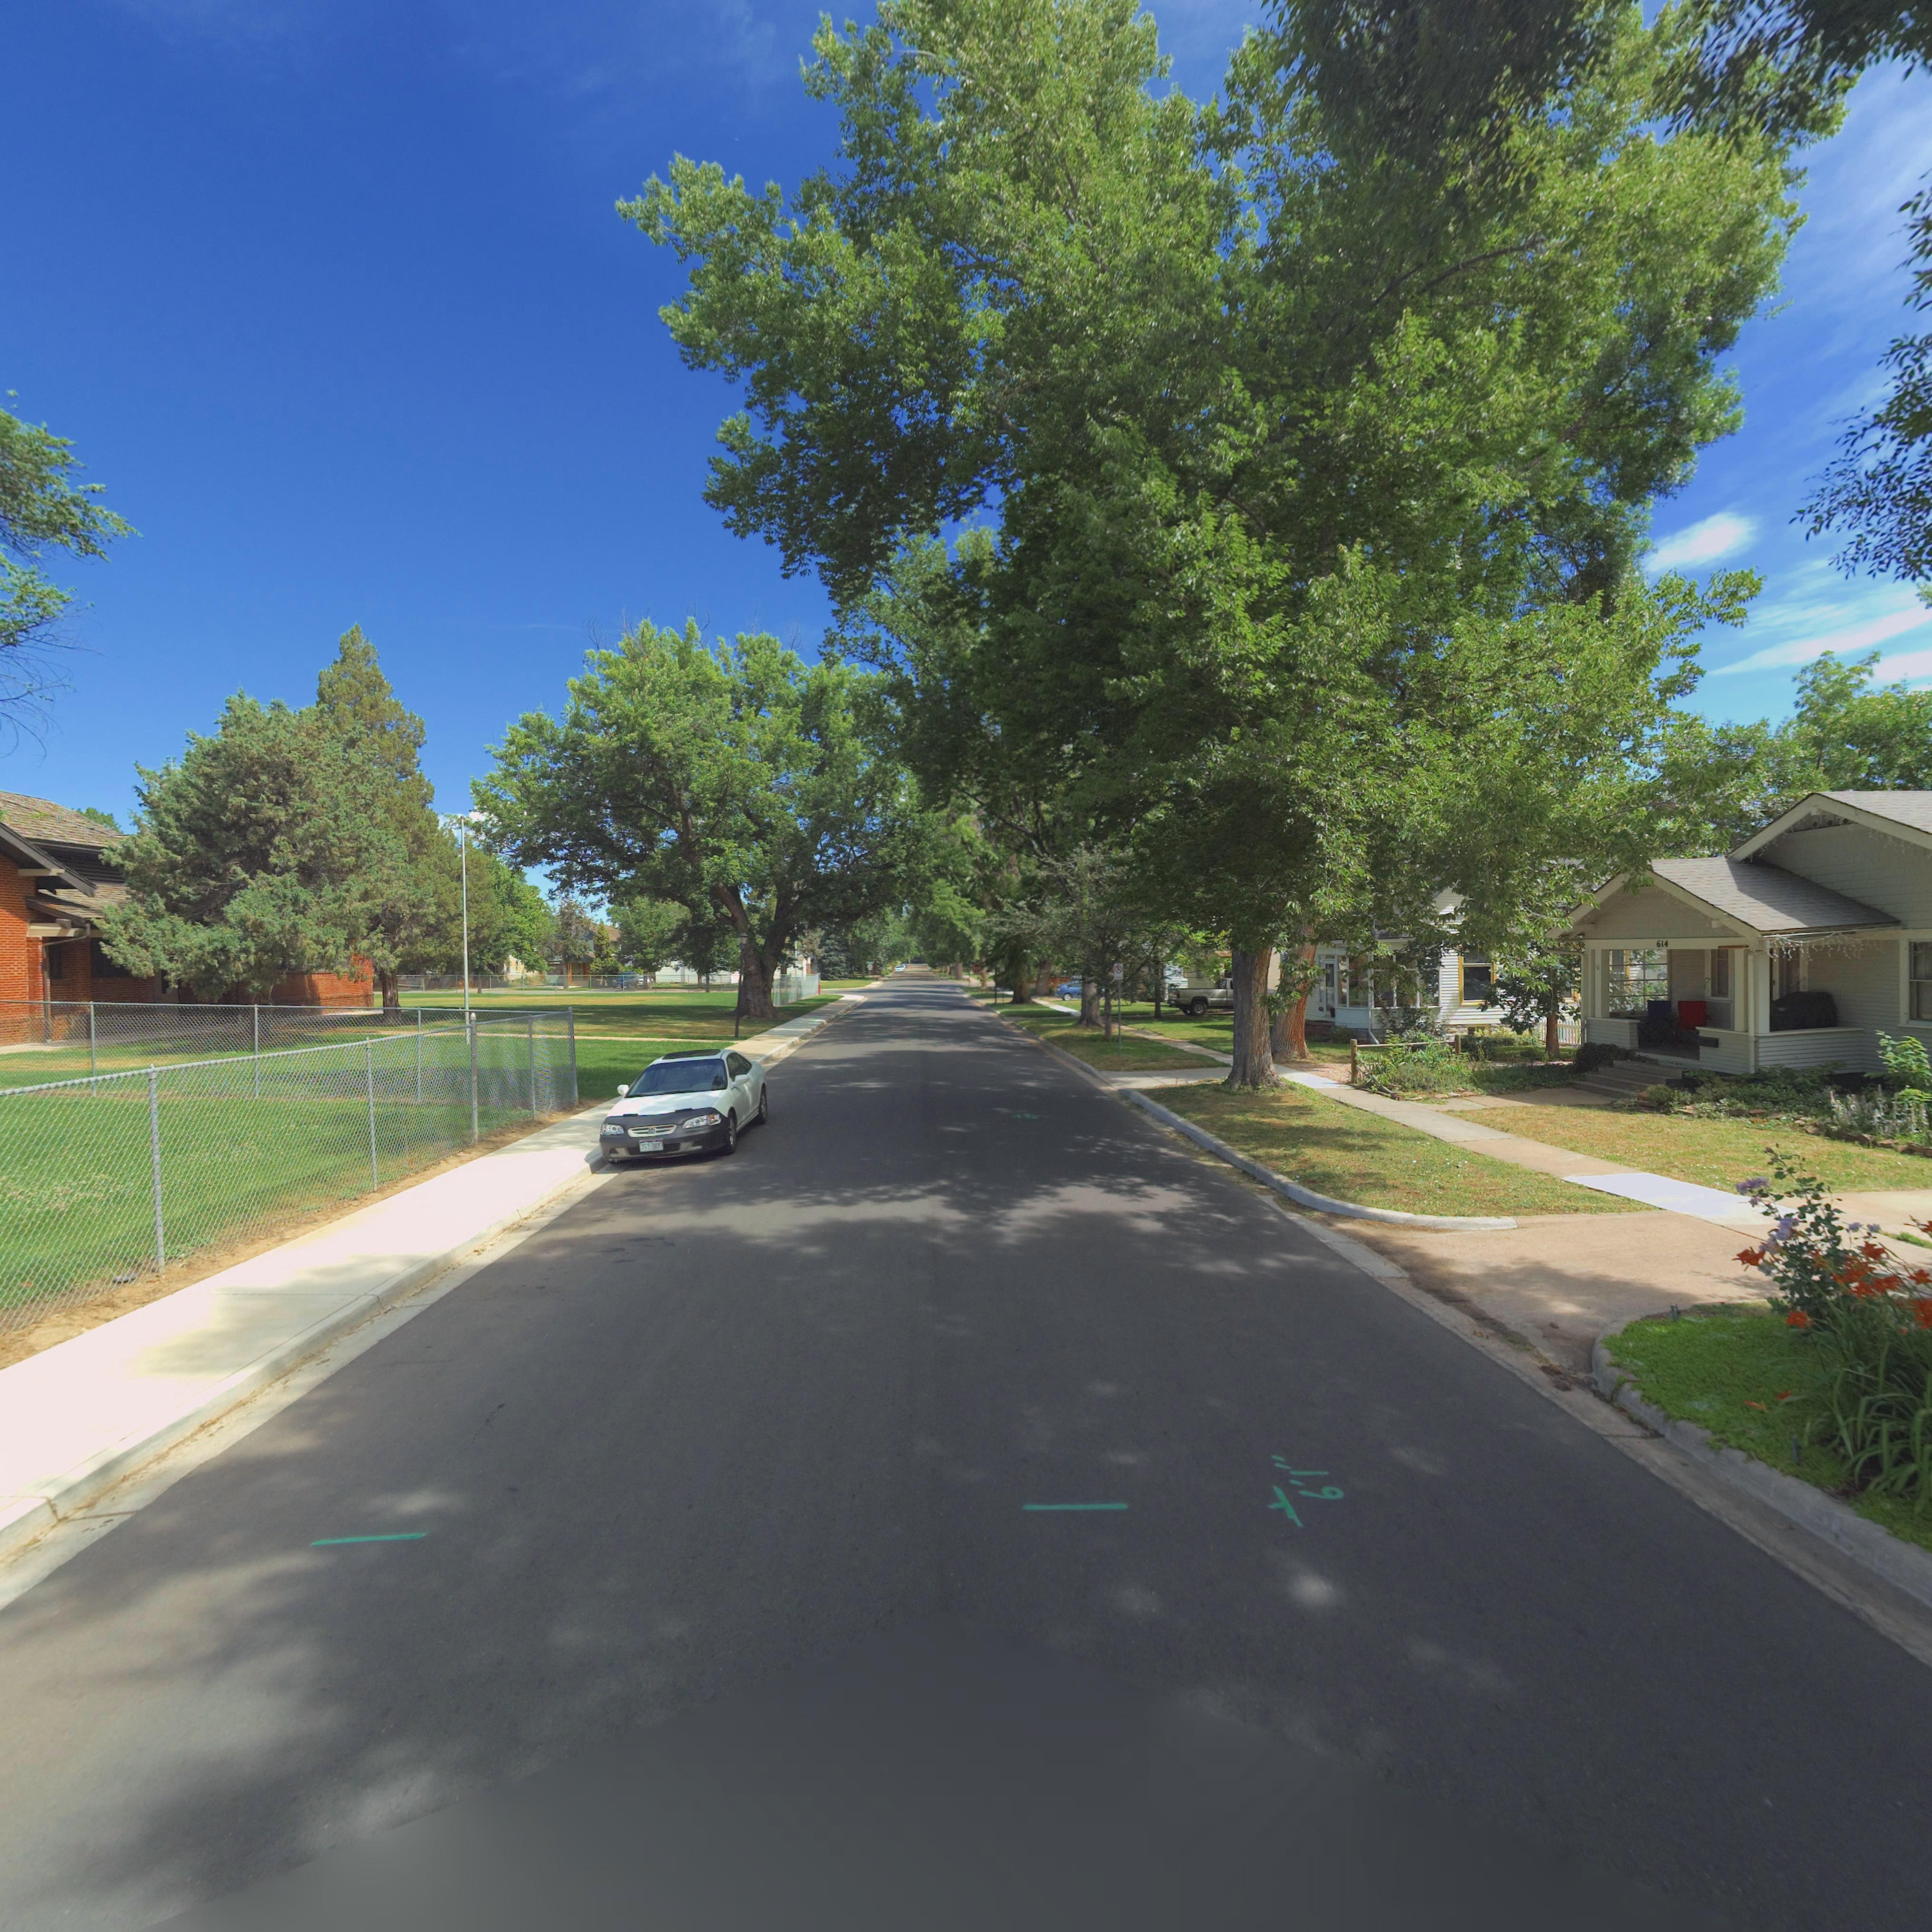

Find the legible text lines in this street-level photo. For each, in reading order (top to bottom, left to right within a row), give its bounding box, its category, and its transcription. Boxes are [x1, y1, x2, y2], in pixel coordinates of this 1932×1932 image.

[1656, 939, 1668, 948] StreetNumber: 614